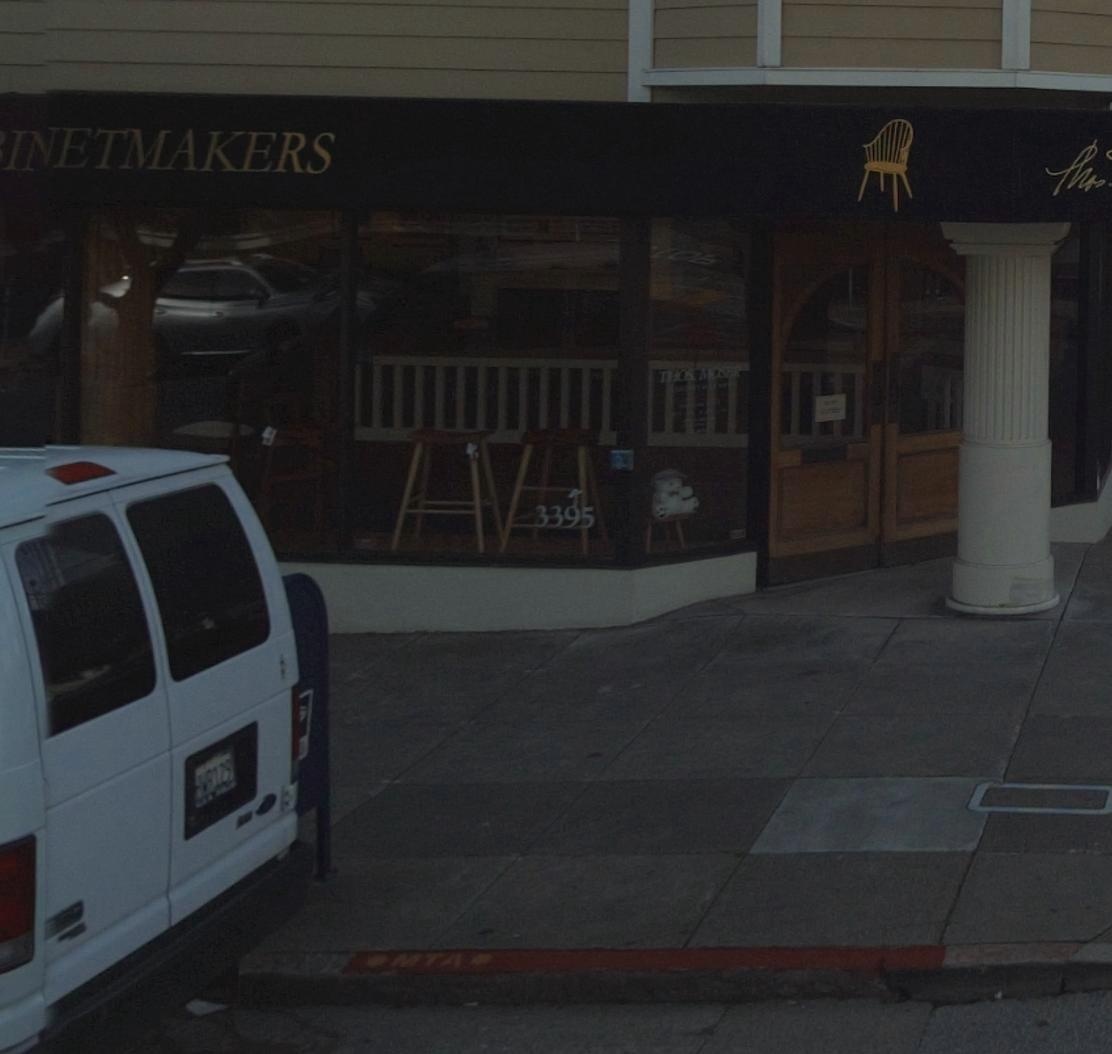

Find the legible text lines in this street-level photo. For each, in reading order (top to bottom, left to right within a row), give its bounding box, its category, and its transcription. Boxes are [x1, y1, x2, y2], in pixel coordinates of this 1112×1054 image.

[2, 122, 342, 179] None: INETMAKERS
[531, 502, 597, 531] StreetNumber: 3395
[195, 753, 236, 800] None: W*129
[386, 949, 465, 971] None: MTA